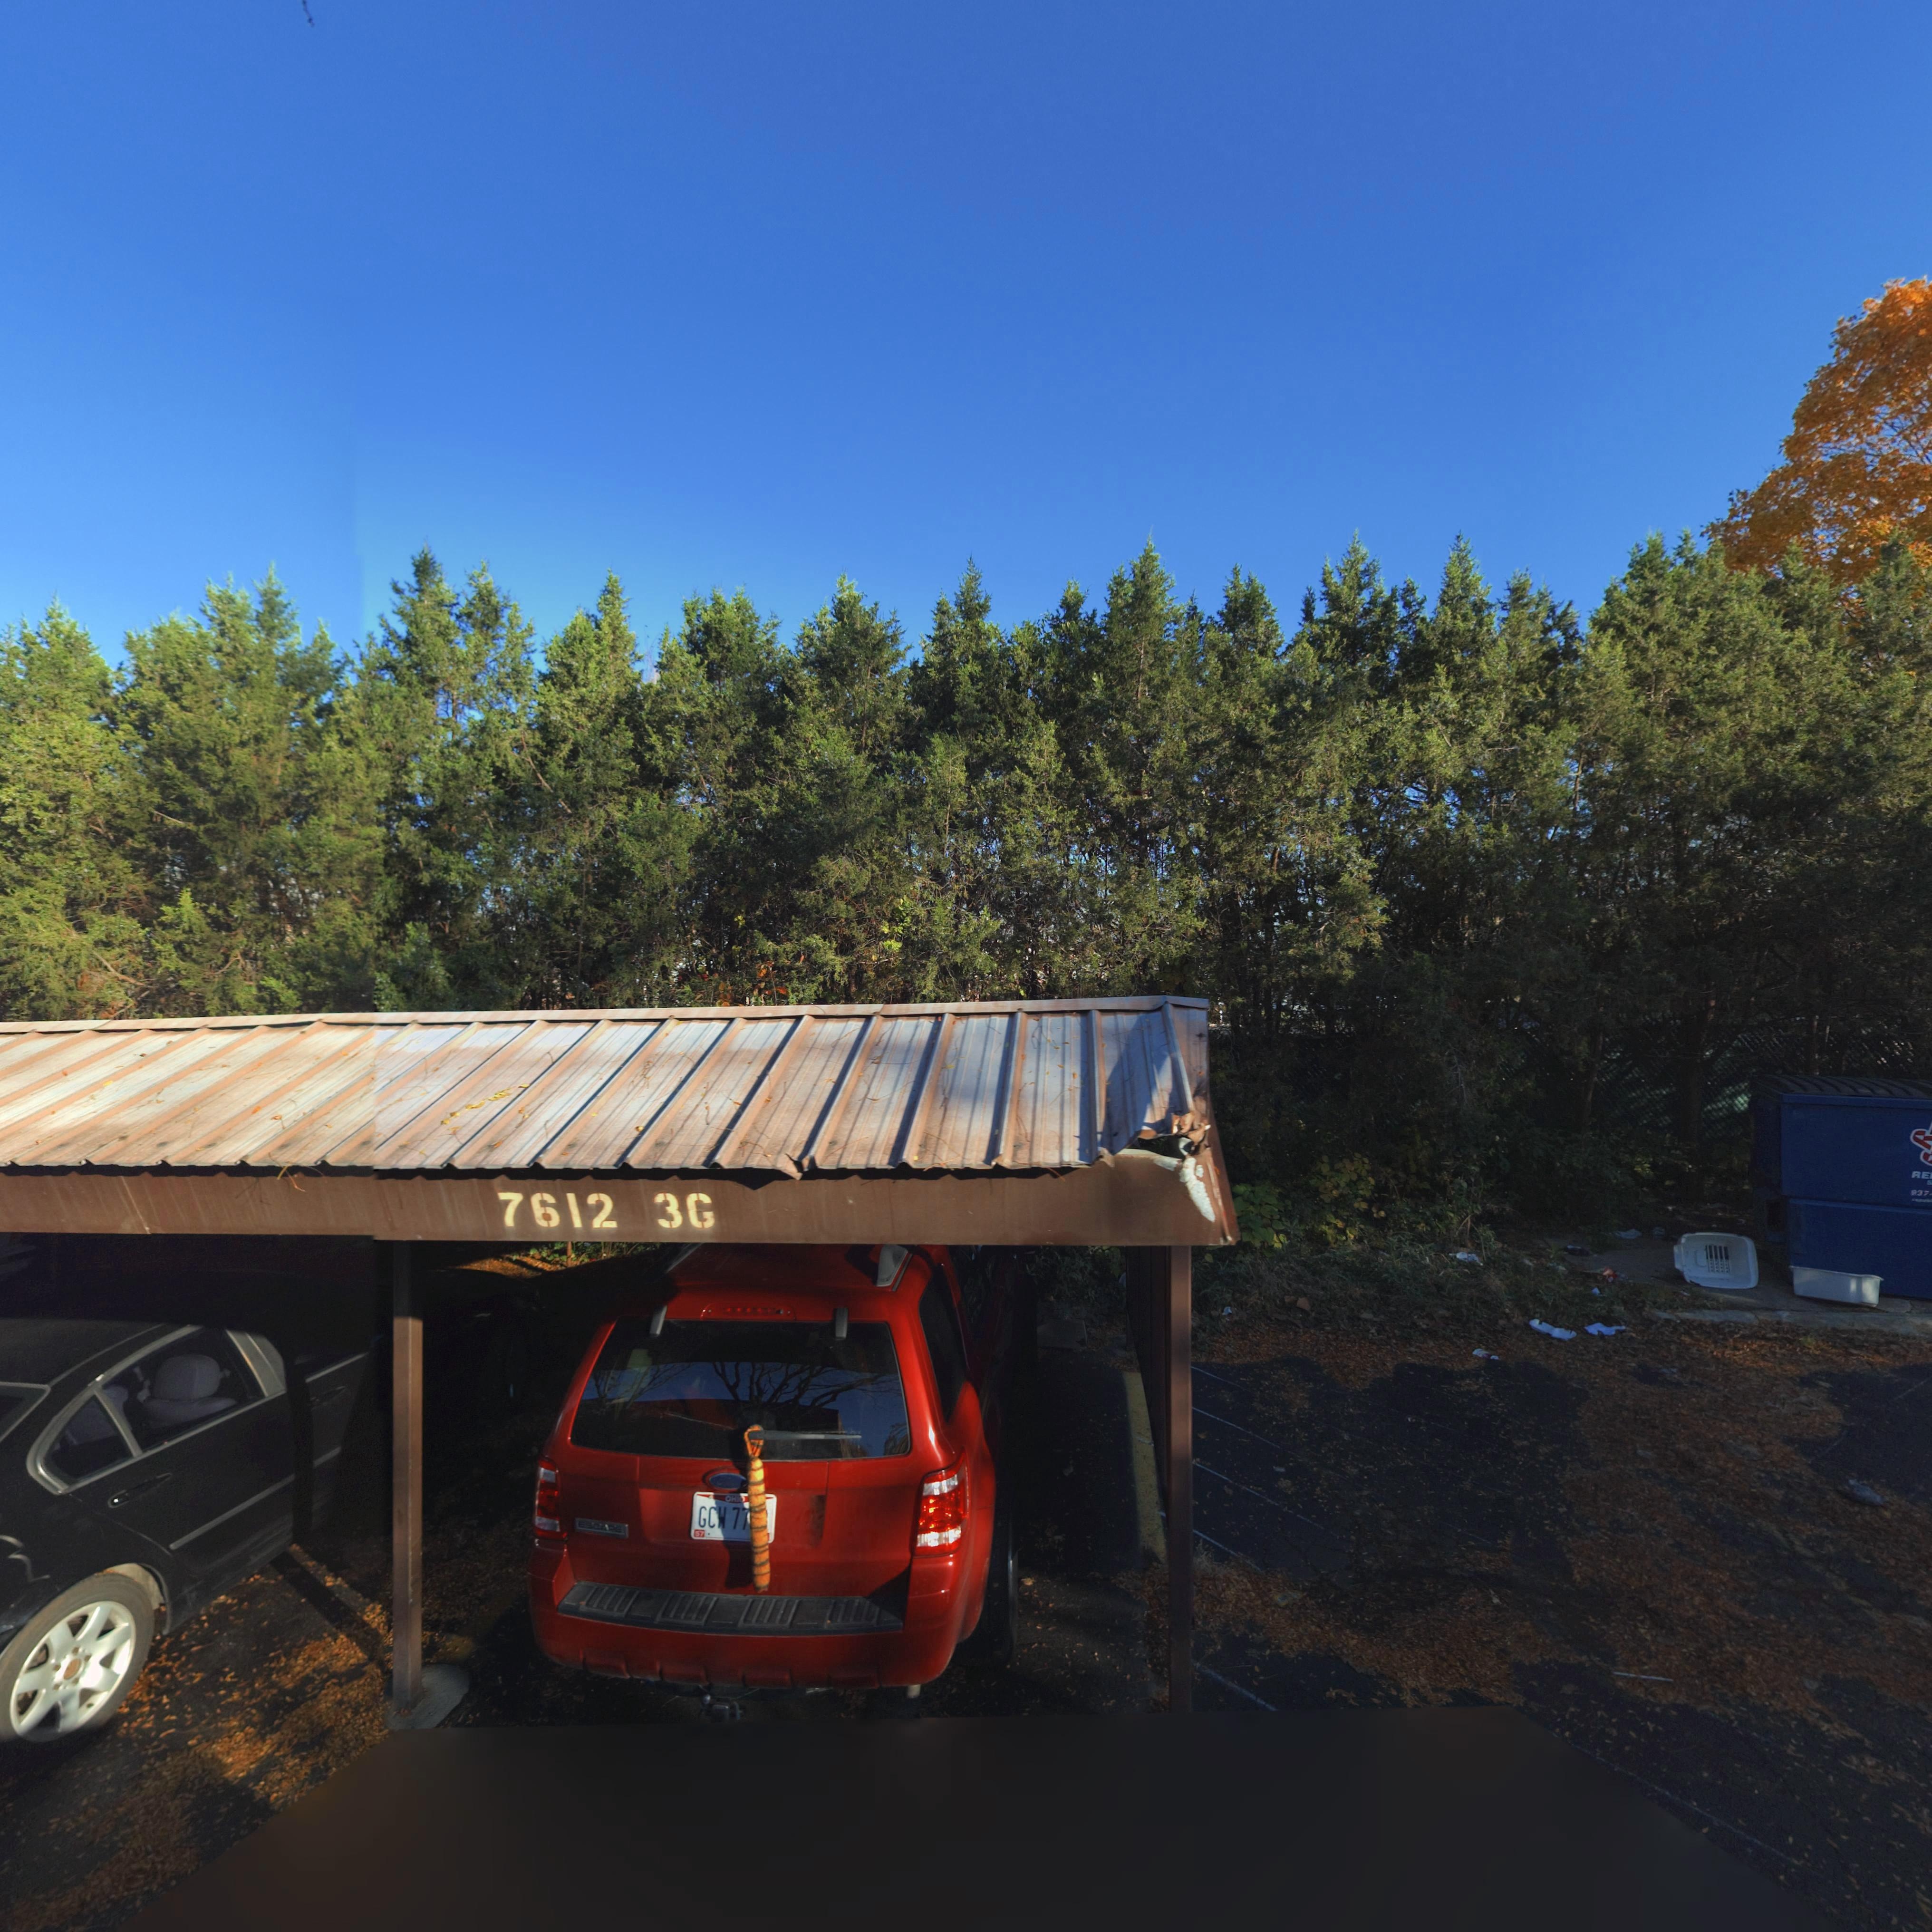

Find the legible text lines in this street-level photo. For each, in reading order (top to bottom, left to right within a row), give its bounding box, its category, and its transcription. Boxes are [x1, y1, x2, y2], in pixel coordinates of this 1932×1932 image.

[496, 1190, 619, 1229] StreetNumber: 7612